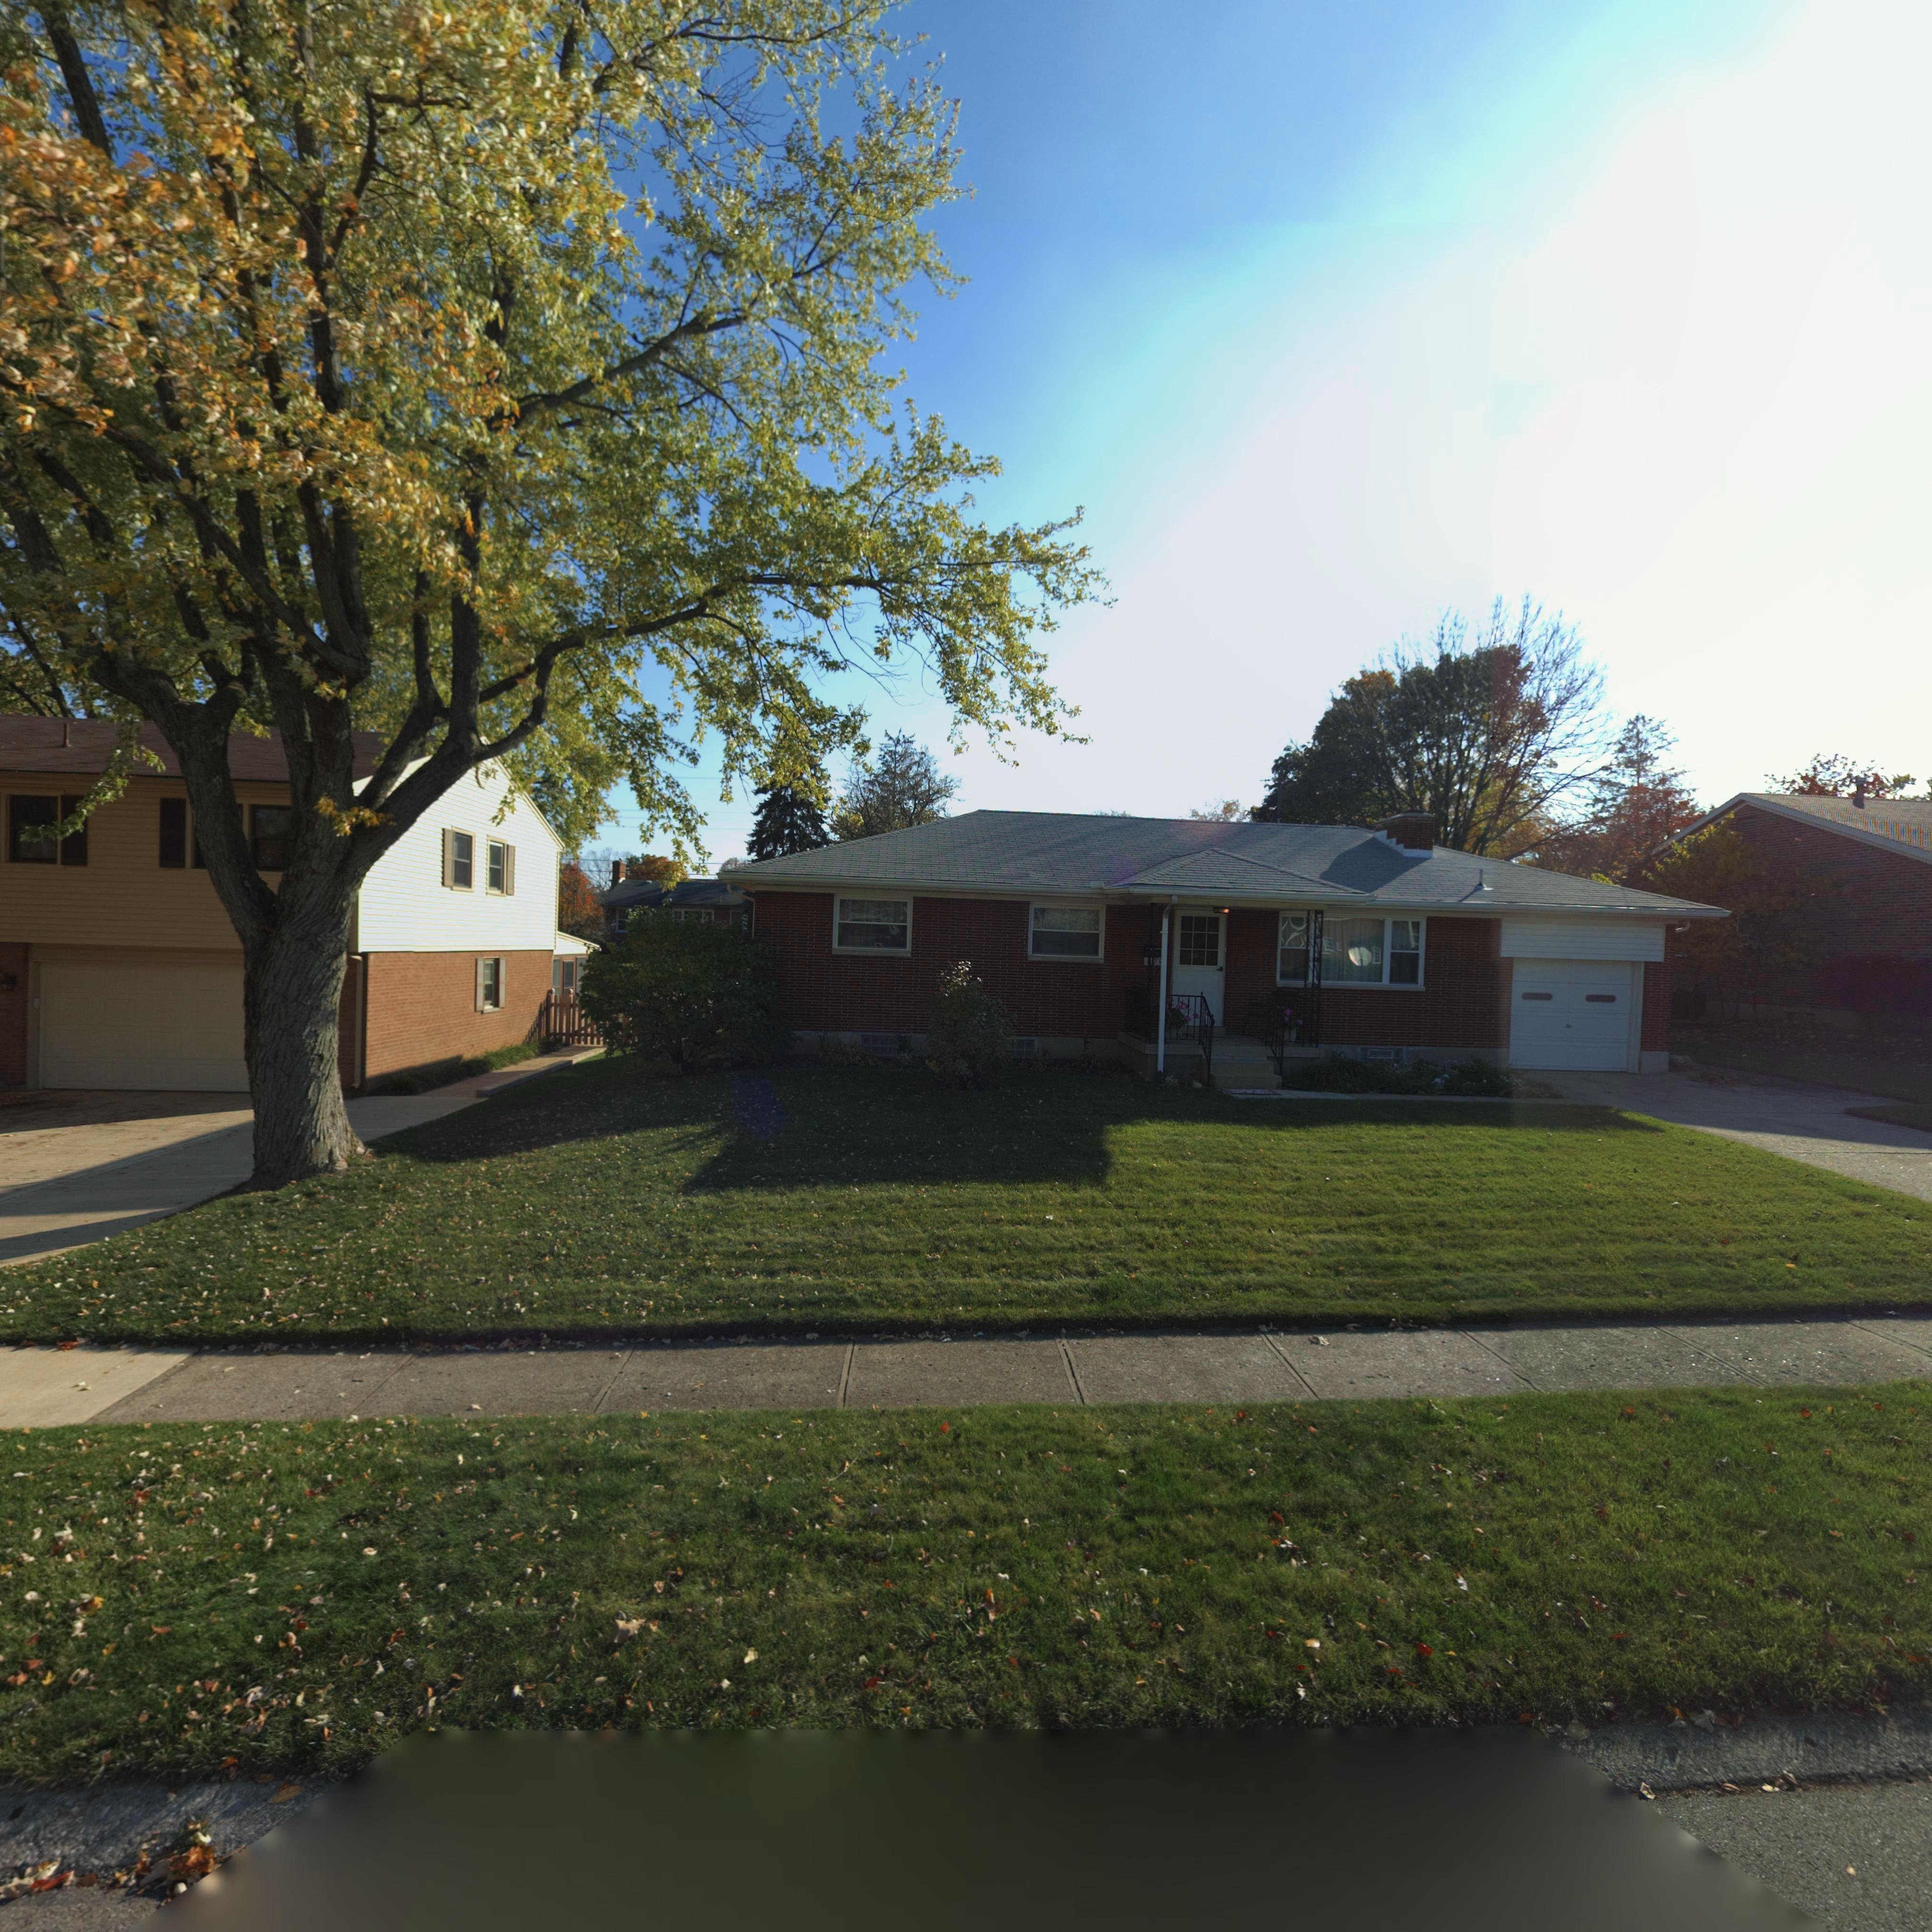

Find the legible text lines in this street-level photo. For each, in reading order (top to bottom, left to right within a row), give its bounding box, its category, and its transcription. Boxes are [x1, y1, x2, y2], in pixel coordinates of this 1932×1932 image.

[1153, 957, 1161, 964] StreetNumber: 24